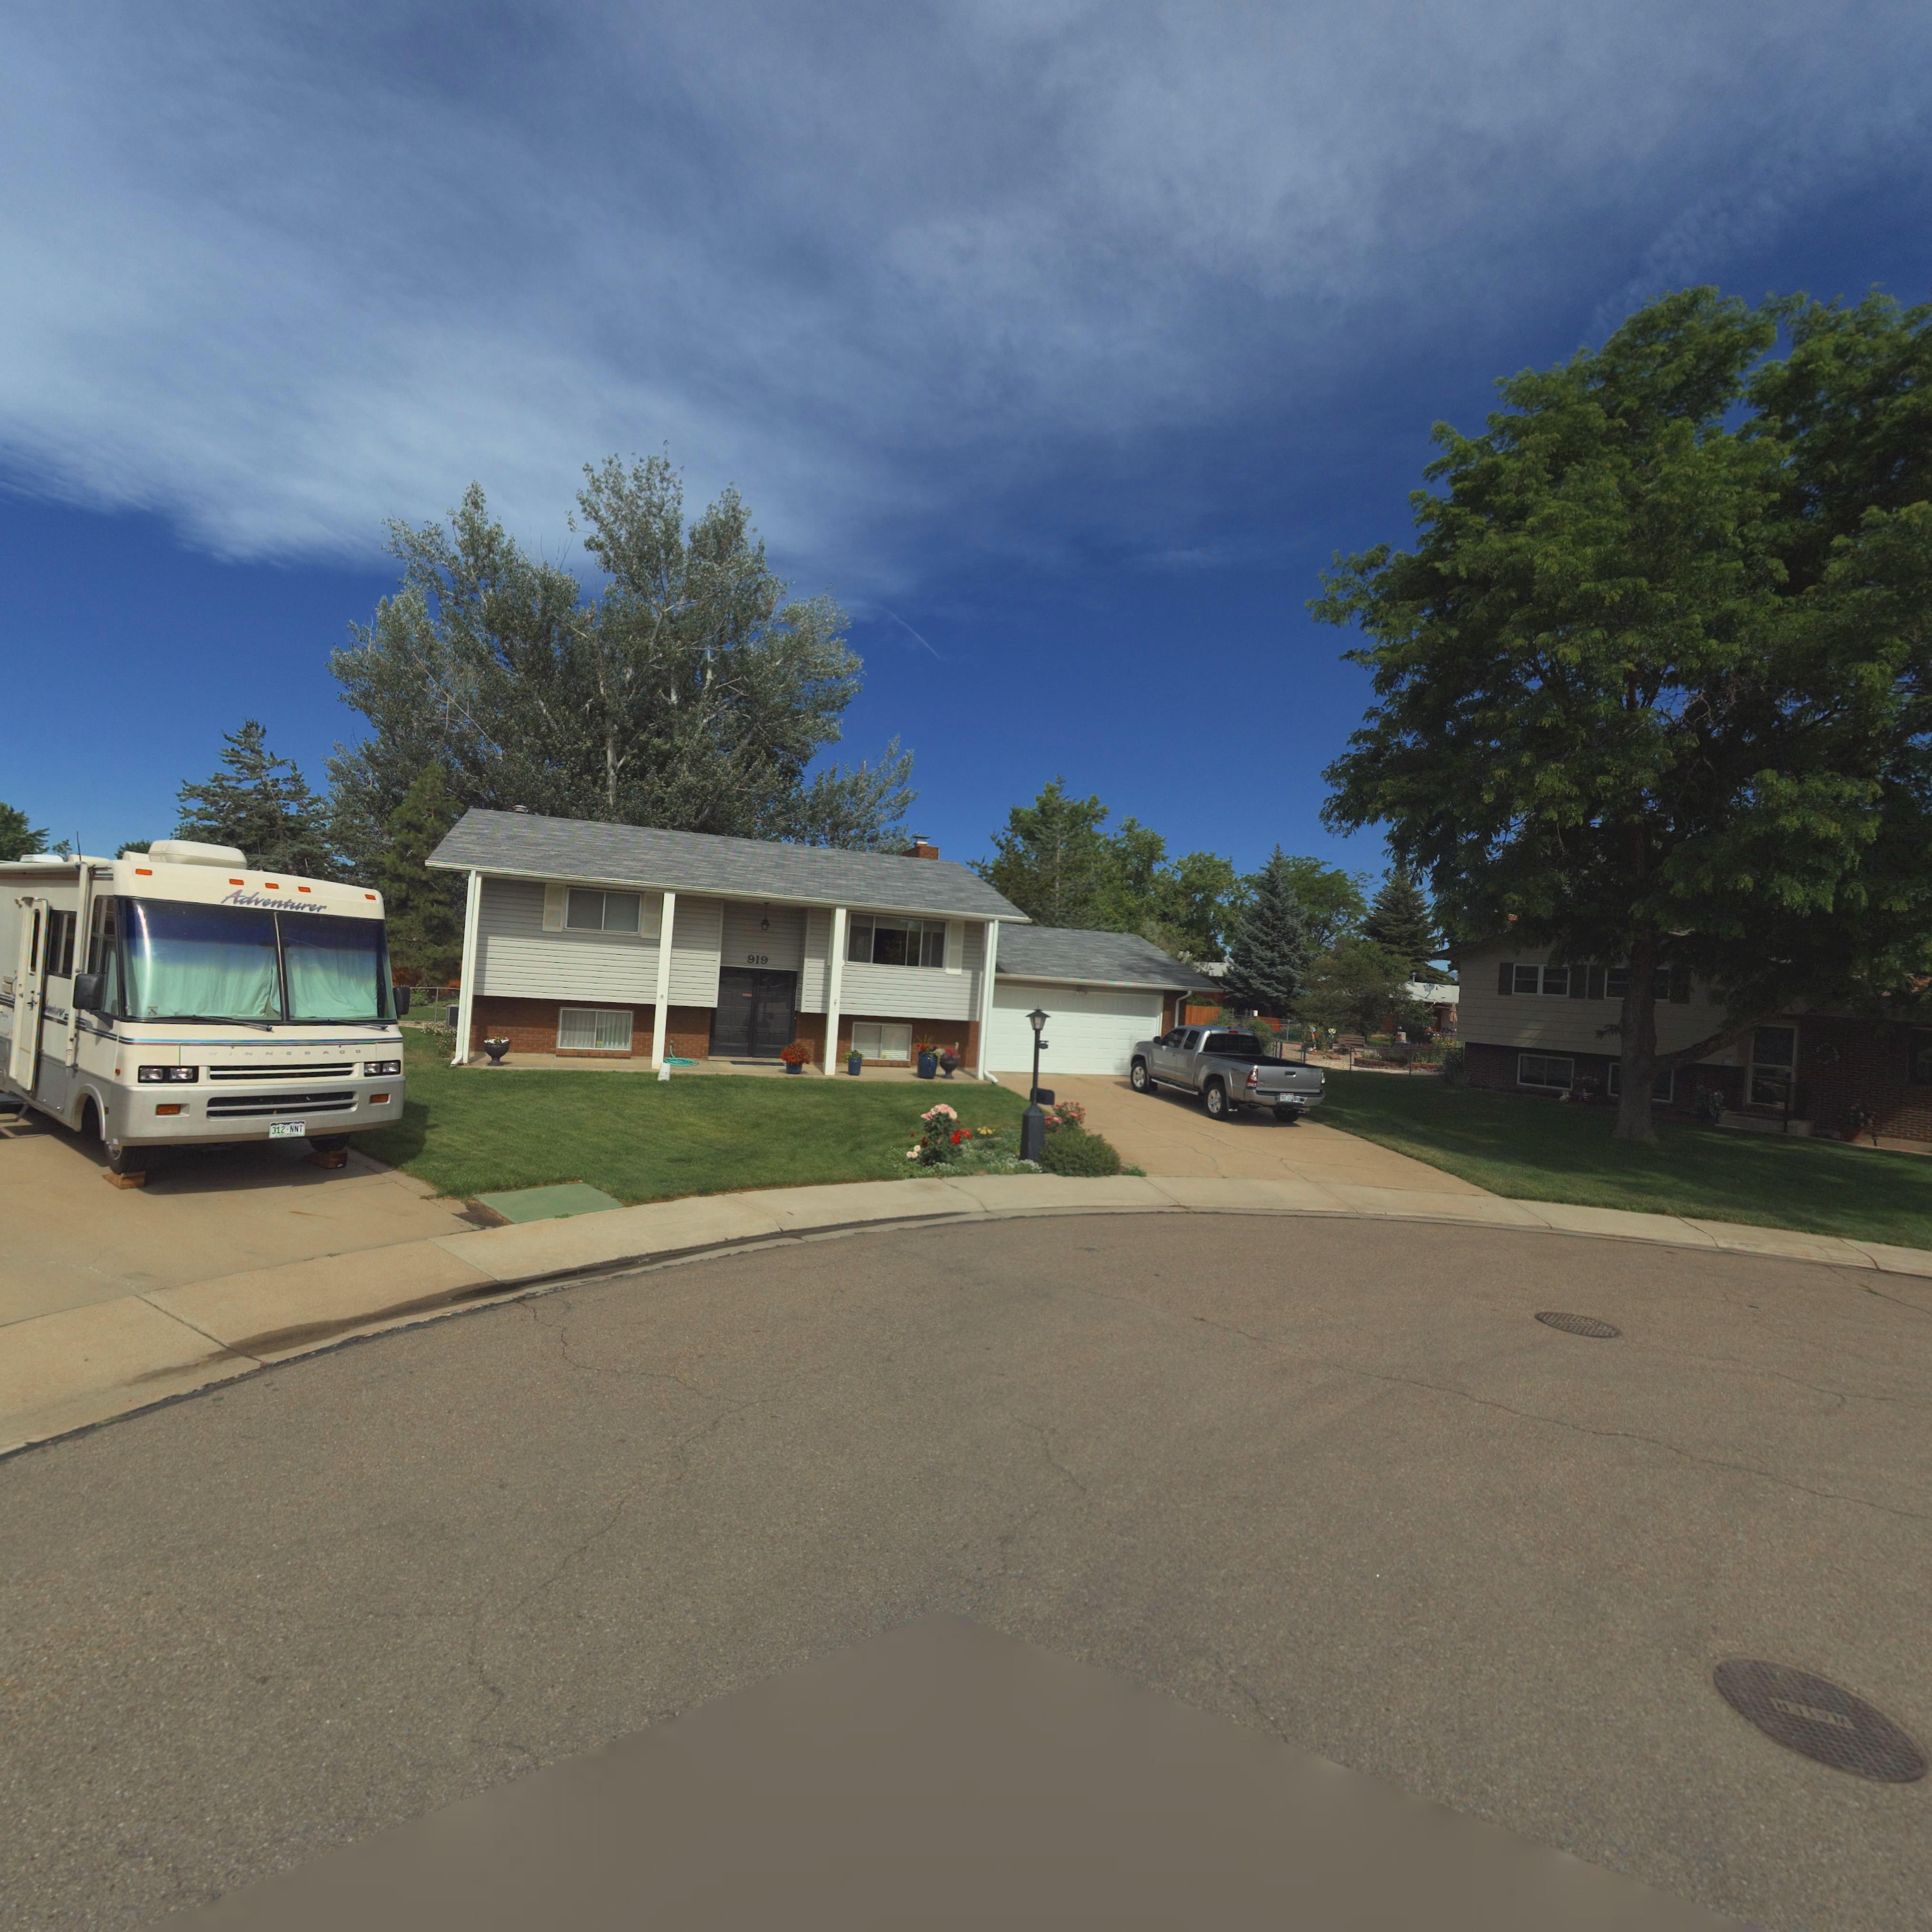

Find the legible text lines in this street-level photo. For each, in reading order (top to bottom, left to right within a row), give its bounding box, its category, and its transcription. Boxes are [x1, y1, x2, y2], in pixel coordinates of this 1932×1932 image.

[746, 954, 769, 964] StreetNumber: 919